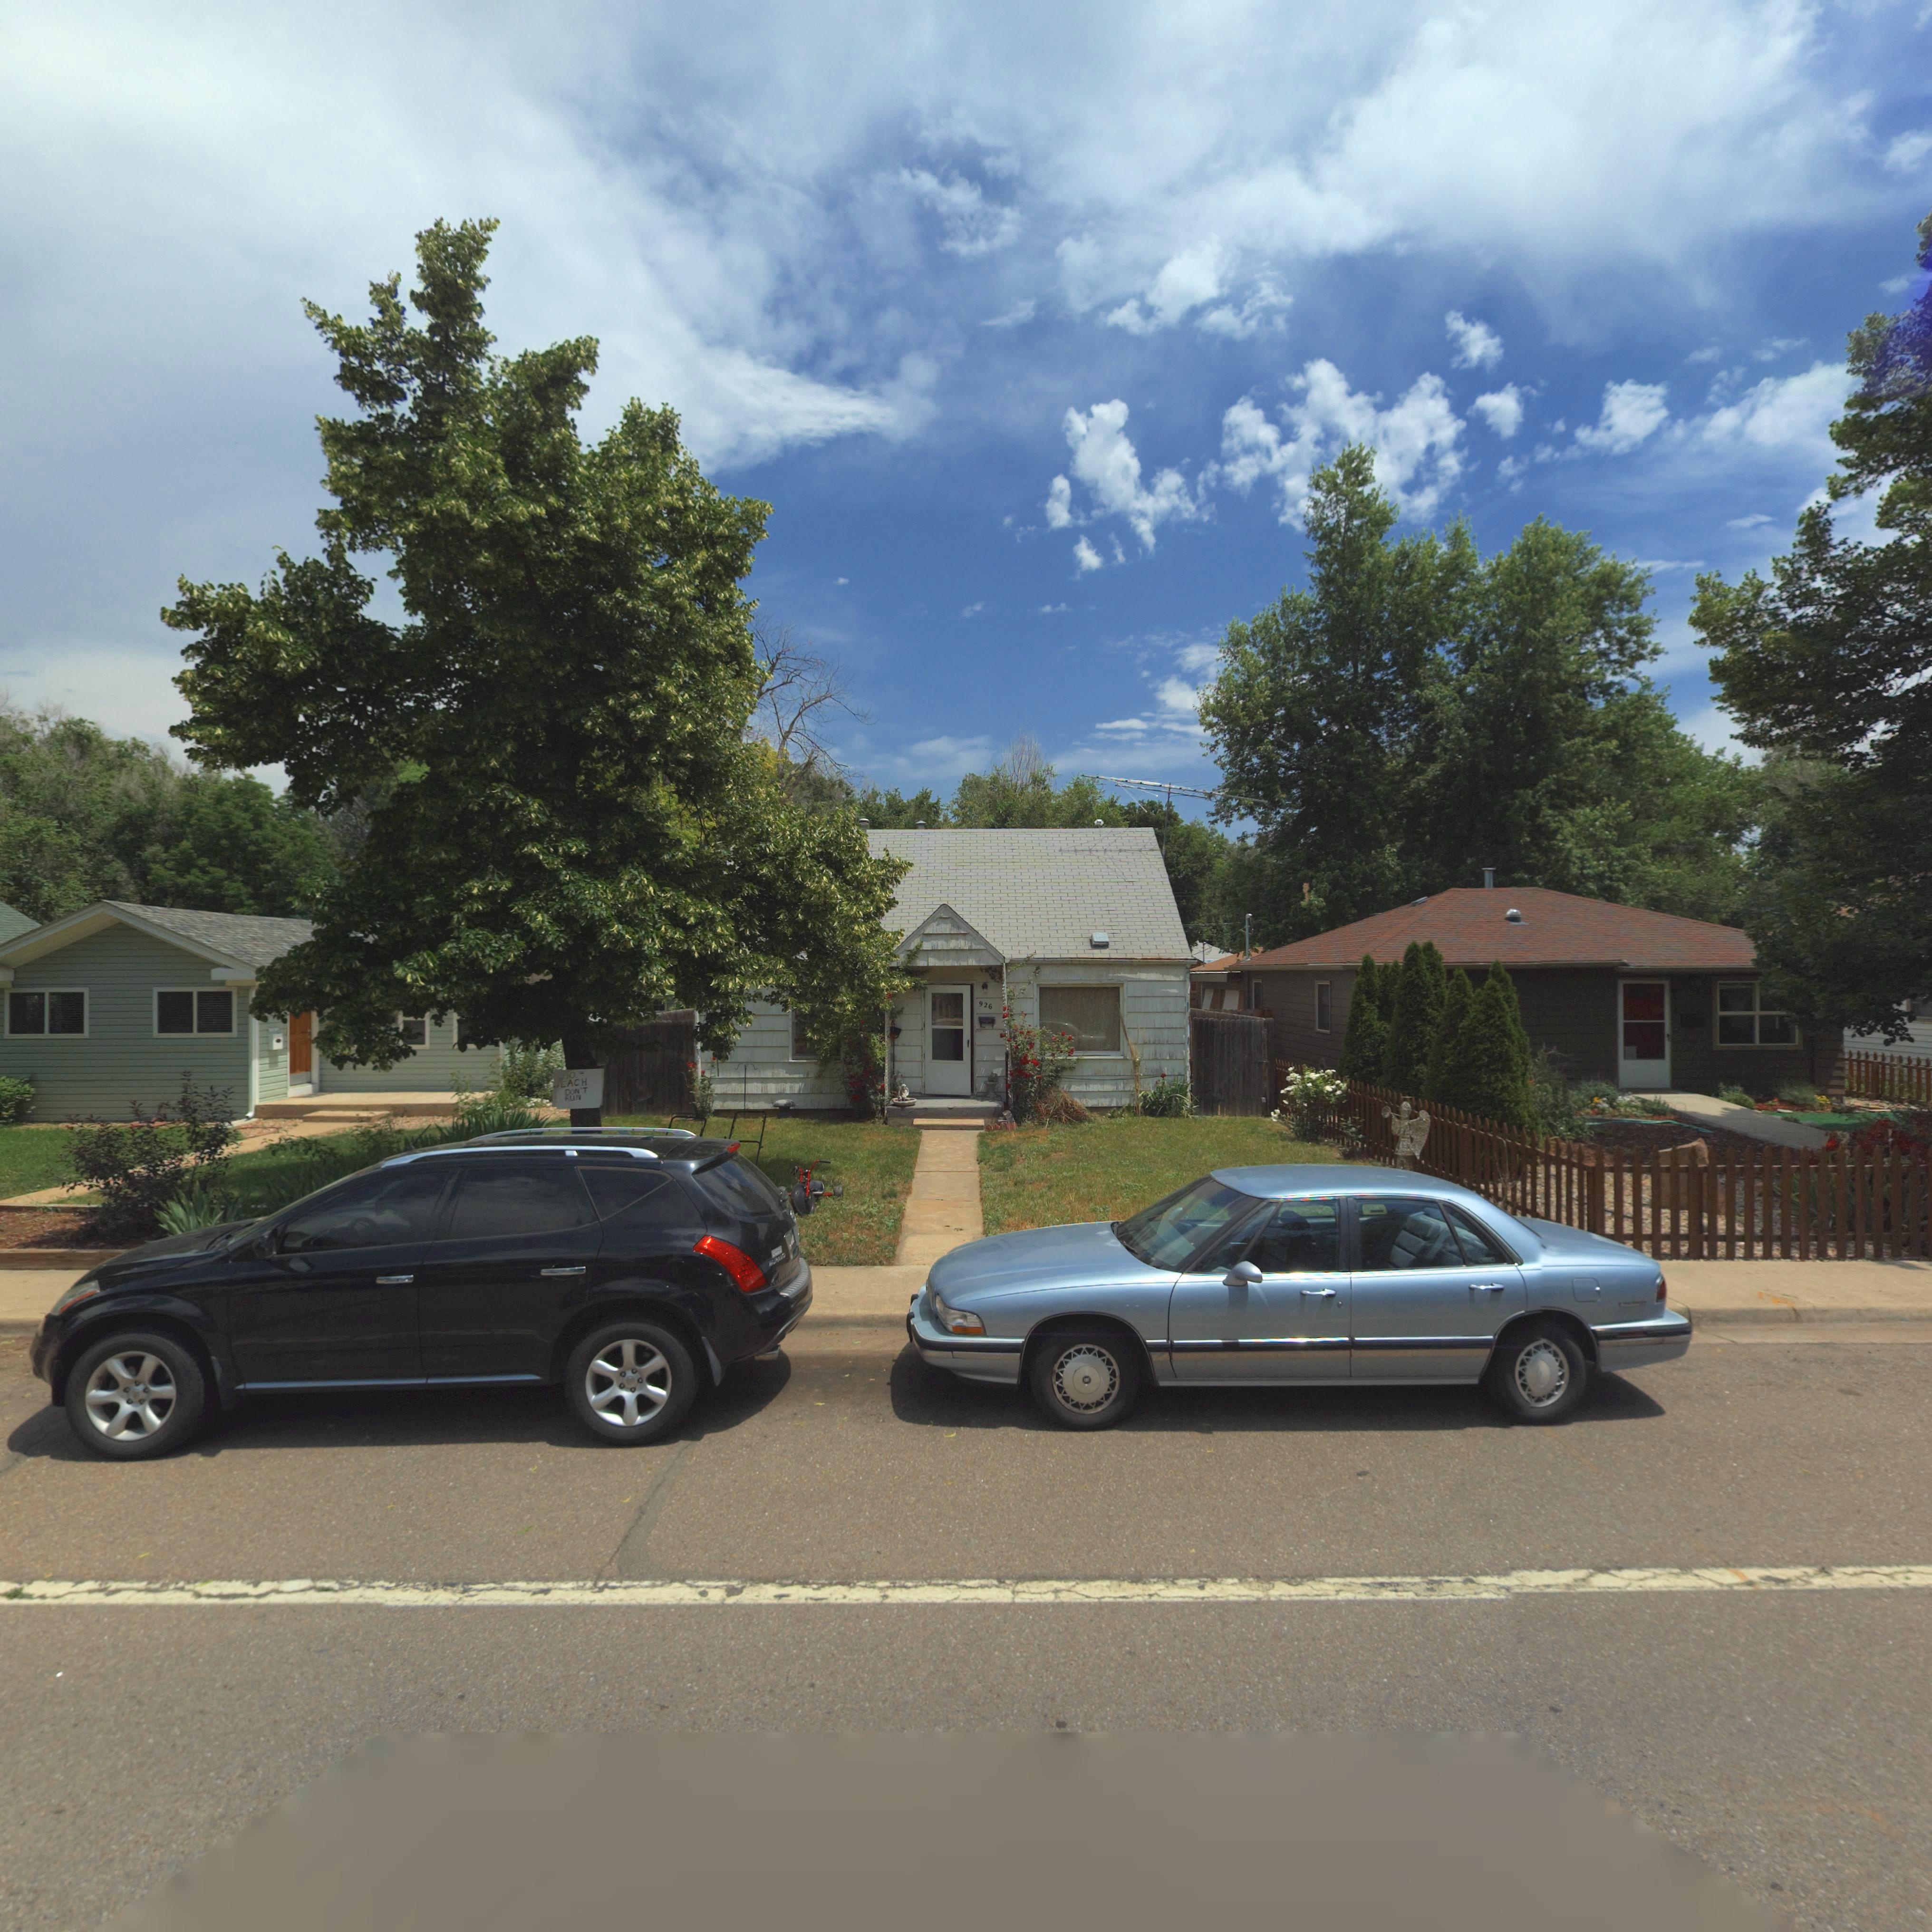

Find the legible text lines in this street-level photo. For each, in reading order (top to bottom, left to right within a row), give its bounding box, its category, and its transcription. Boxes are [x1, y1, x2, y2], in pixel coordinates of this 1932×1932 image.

[978, 1000, 992, 1009] StreetNumber: 926